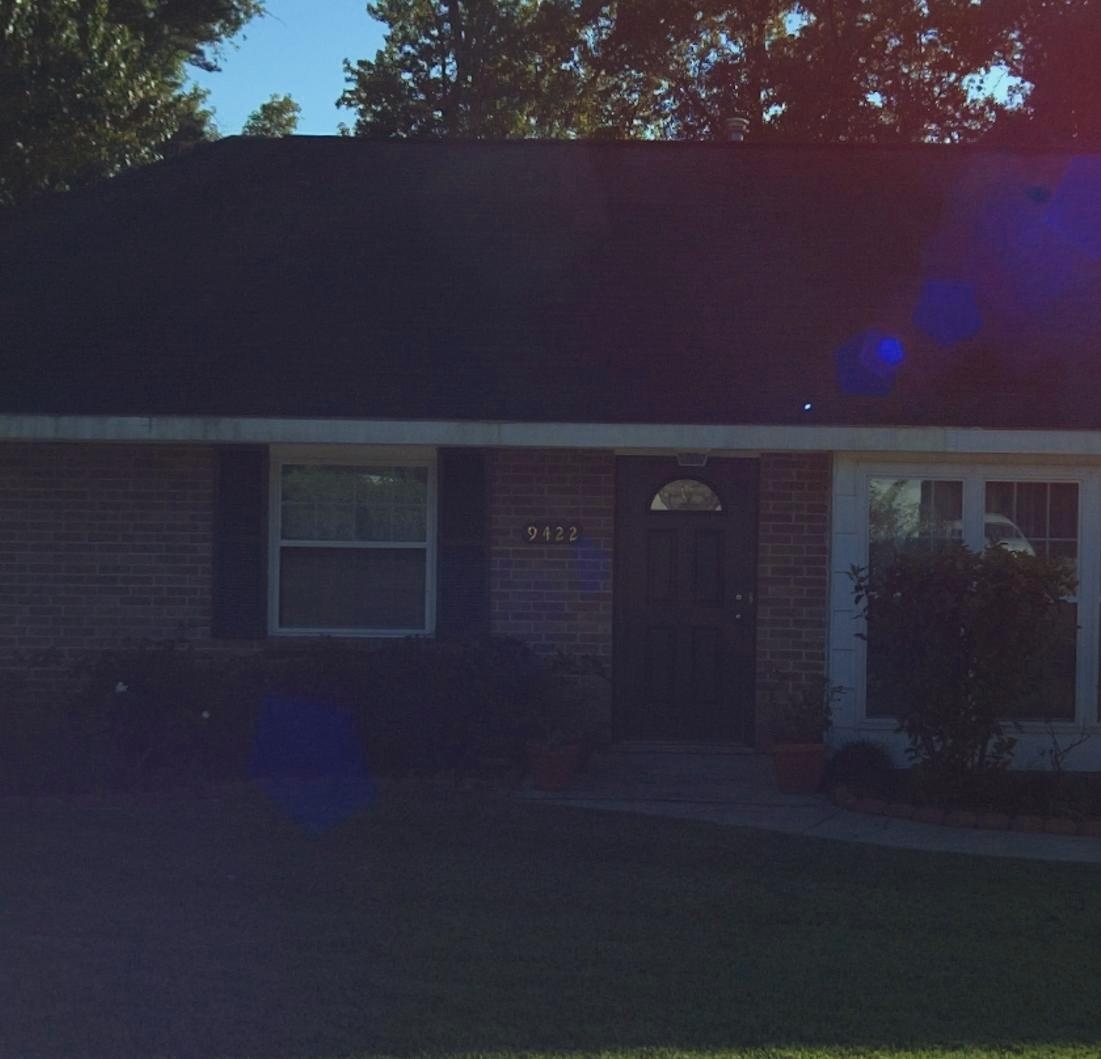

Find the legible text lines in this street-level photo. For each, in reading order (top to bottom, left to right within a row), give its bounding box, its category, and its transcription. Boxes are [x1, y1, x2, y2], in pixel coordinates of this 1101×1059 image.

[526, 525, 579, 542] StreetNumber: 6422